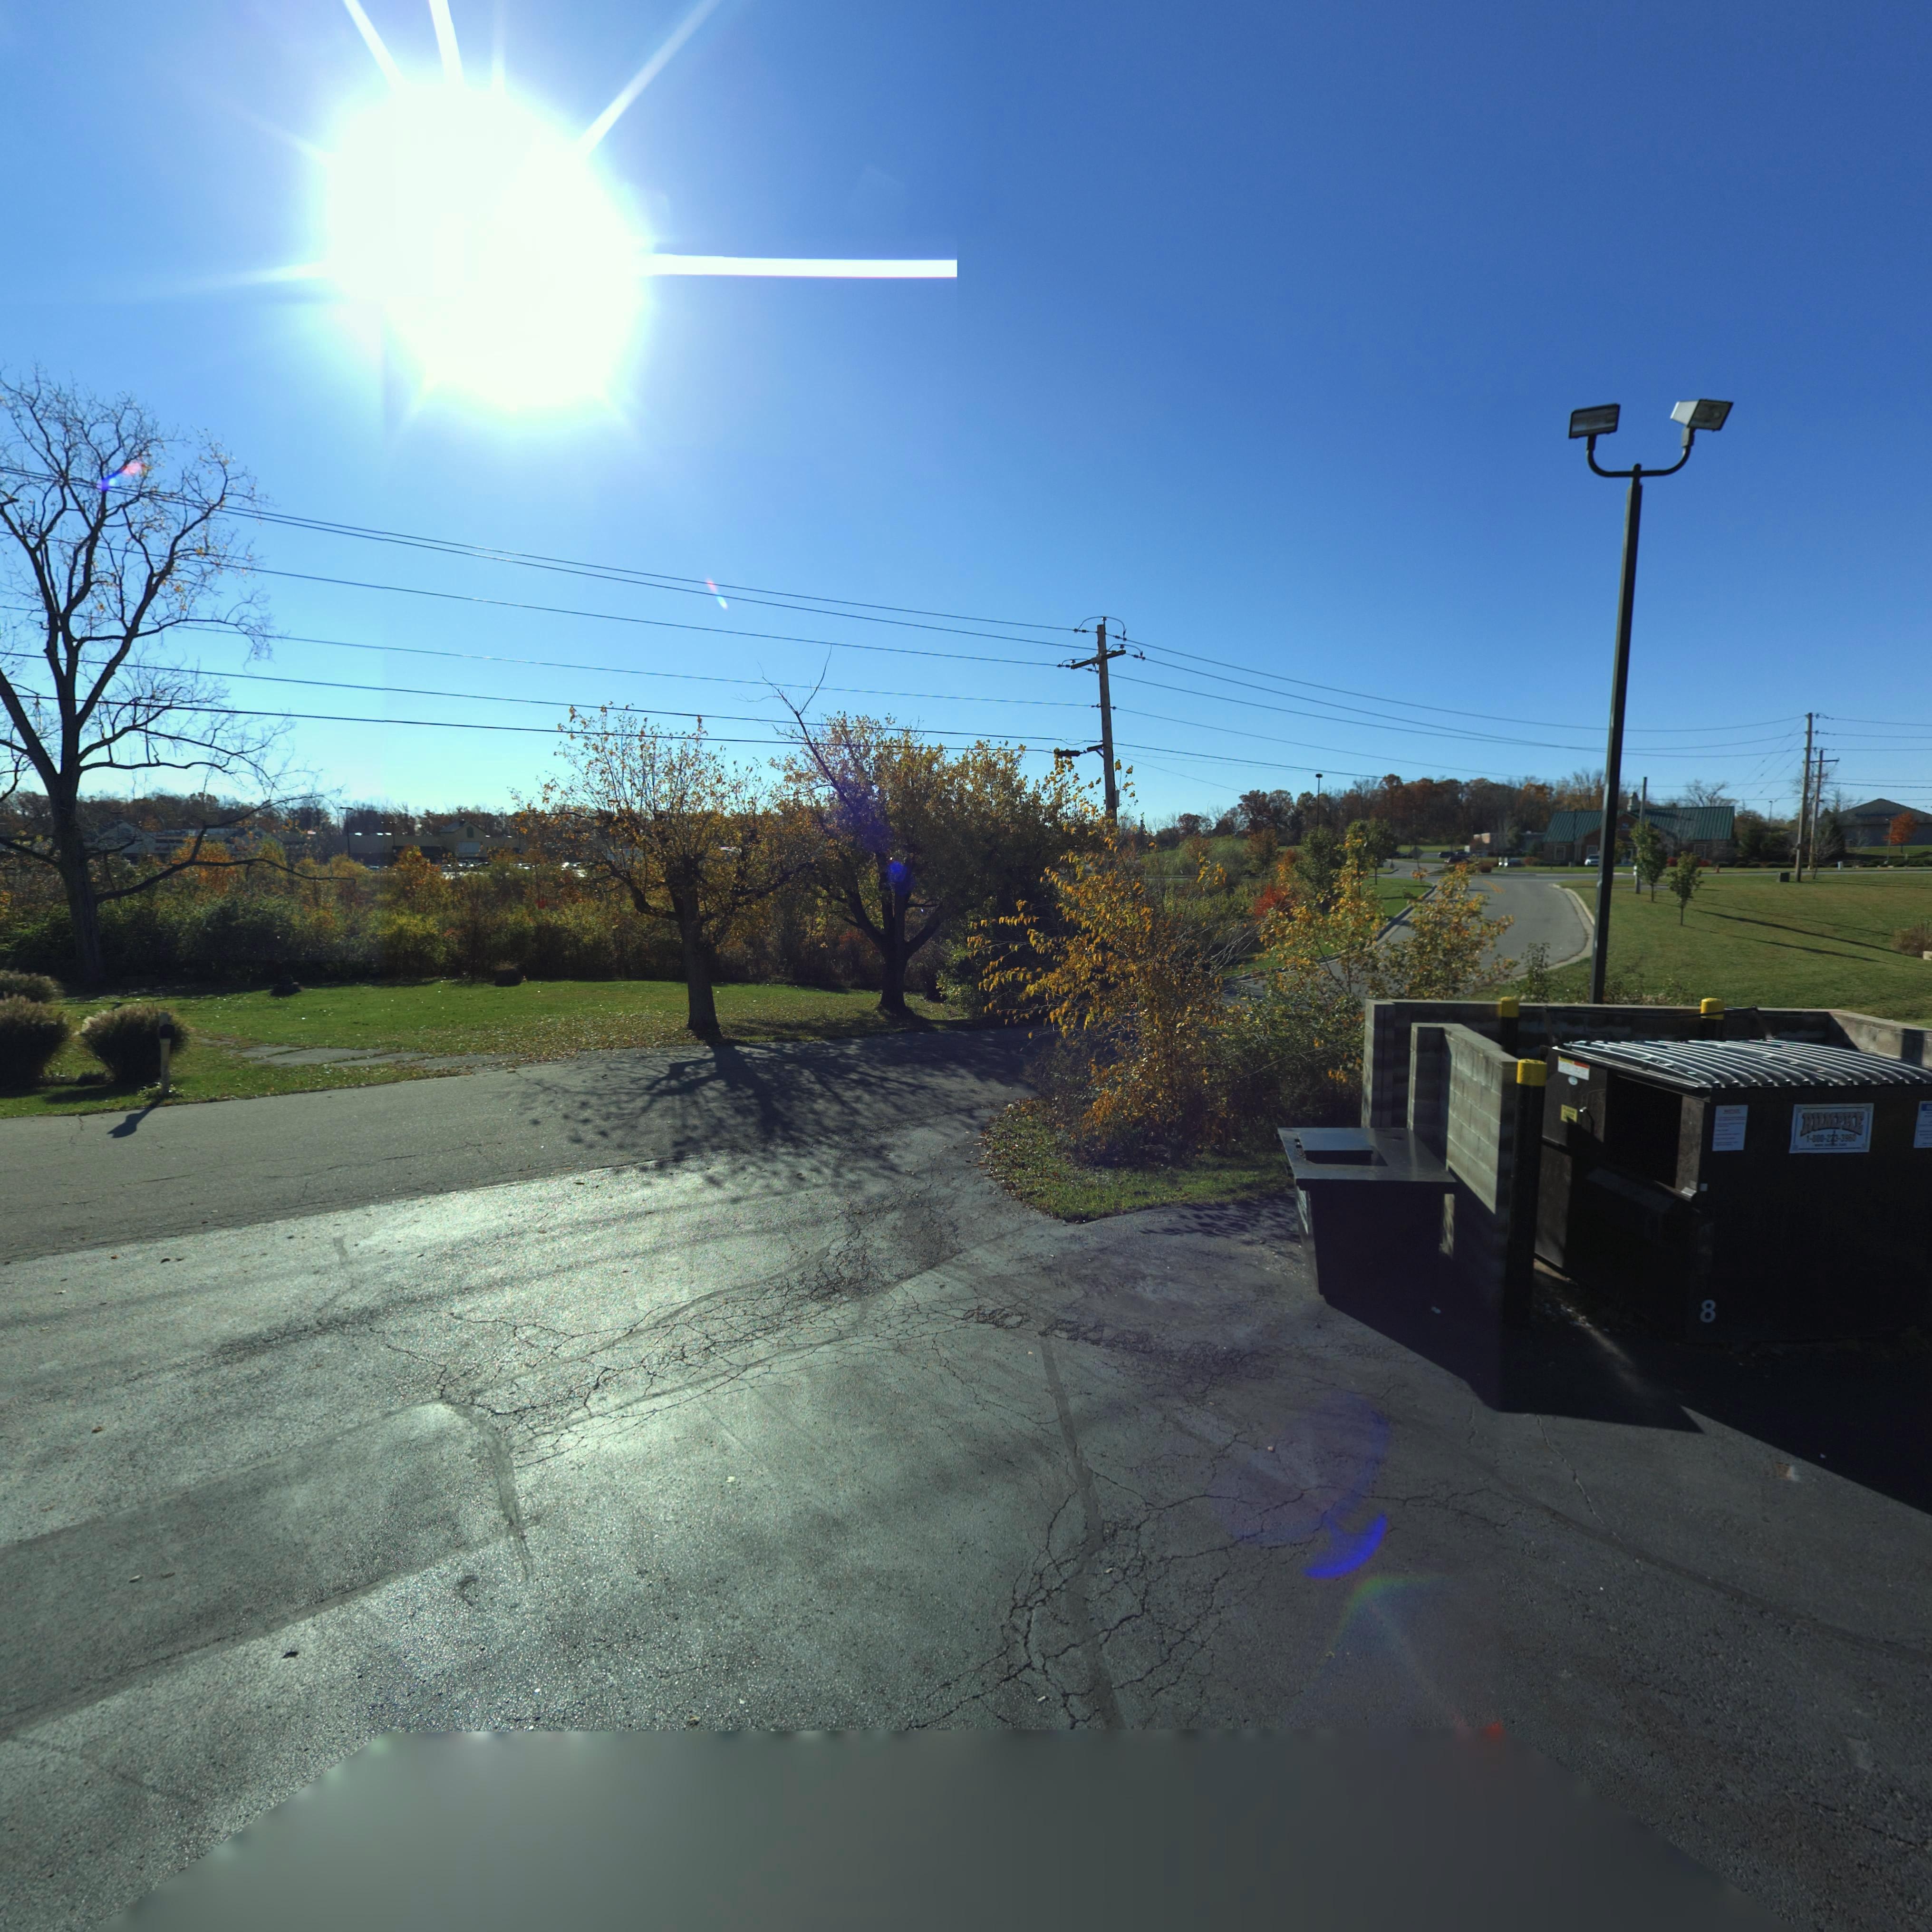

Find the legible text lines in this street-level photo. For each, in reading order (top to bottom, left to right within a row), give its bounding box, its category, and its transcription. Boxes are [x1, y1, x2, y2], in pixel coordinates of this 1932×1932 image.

[162, 1065, 169, 1090] StreetNumber: 782